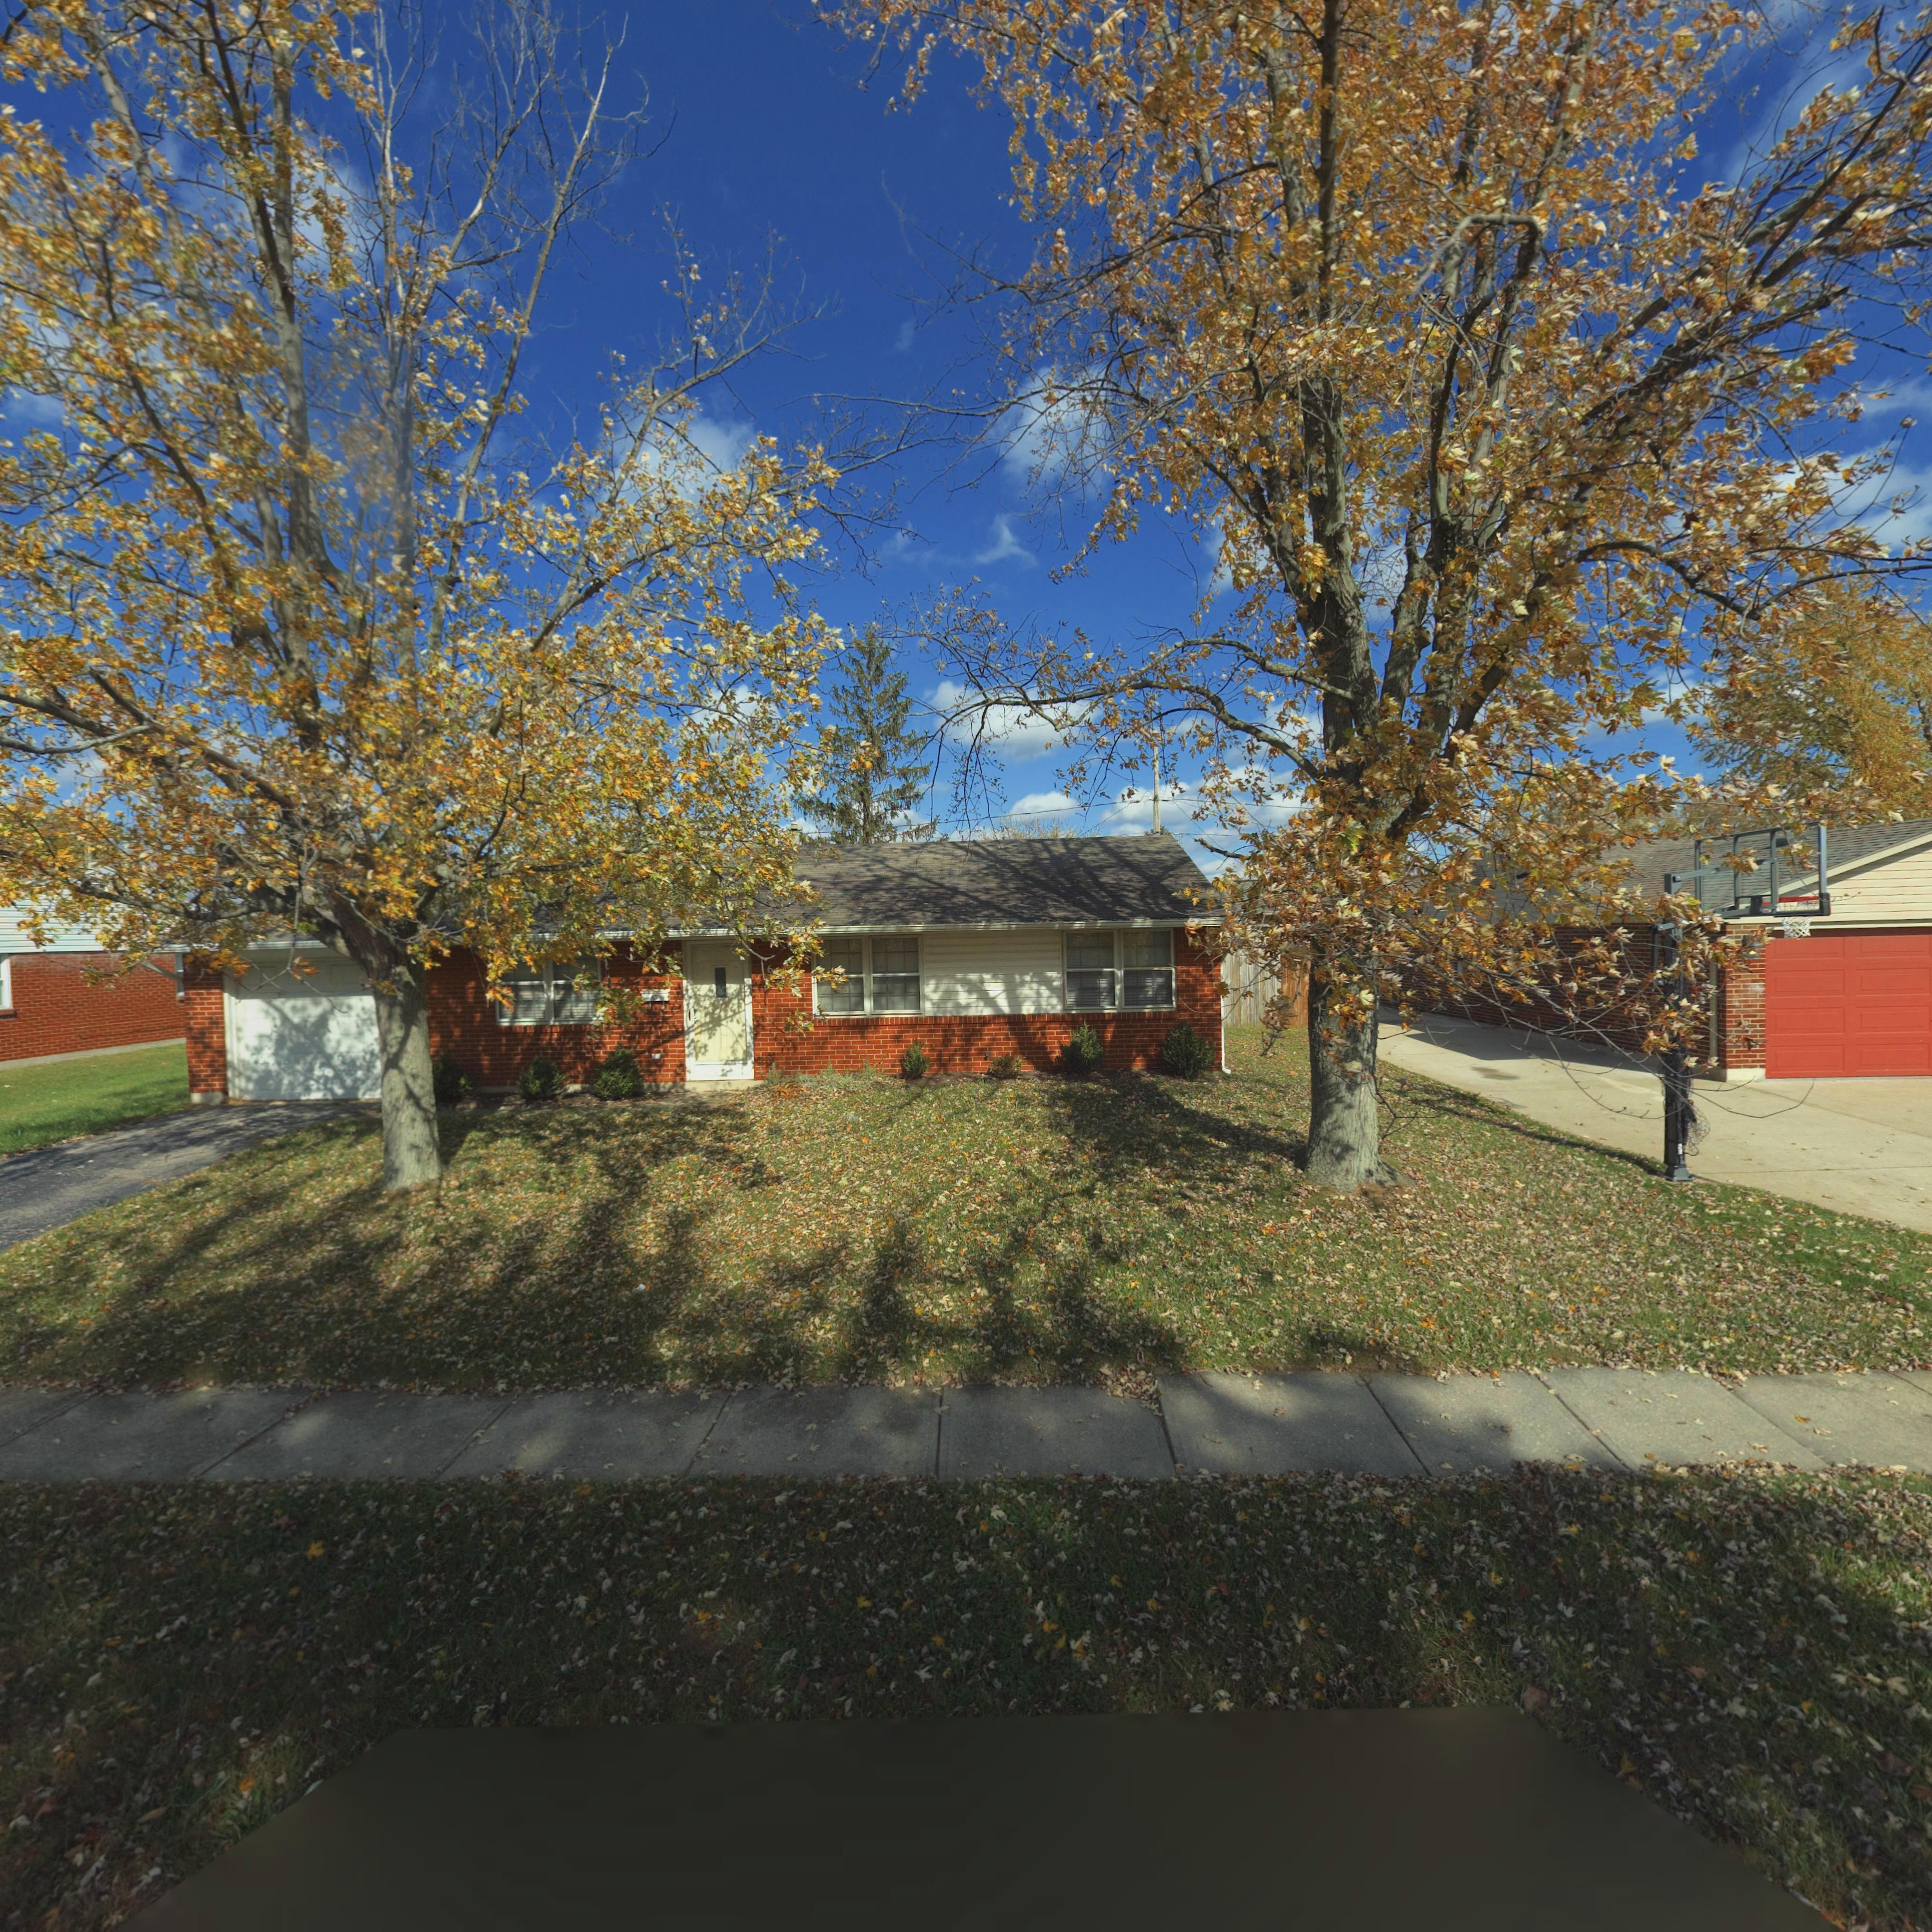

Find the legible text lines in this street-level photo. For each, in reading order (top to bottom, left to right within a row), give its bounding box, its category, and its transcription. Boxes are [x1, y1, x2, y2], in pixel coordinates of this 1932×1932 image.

[767, 964, 773, 974] StreetNumber: 6